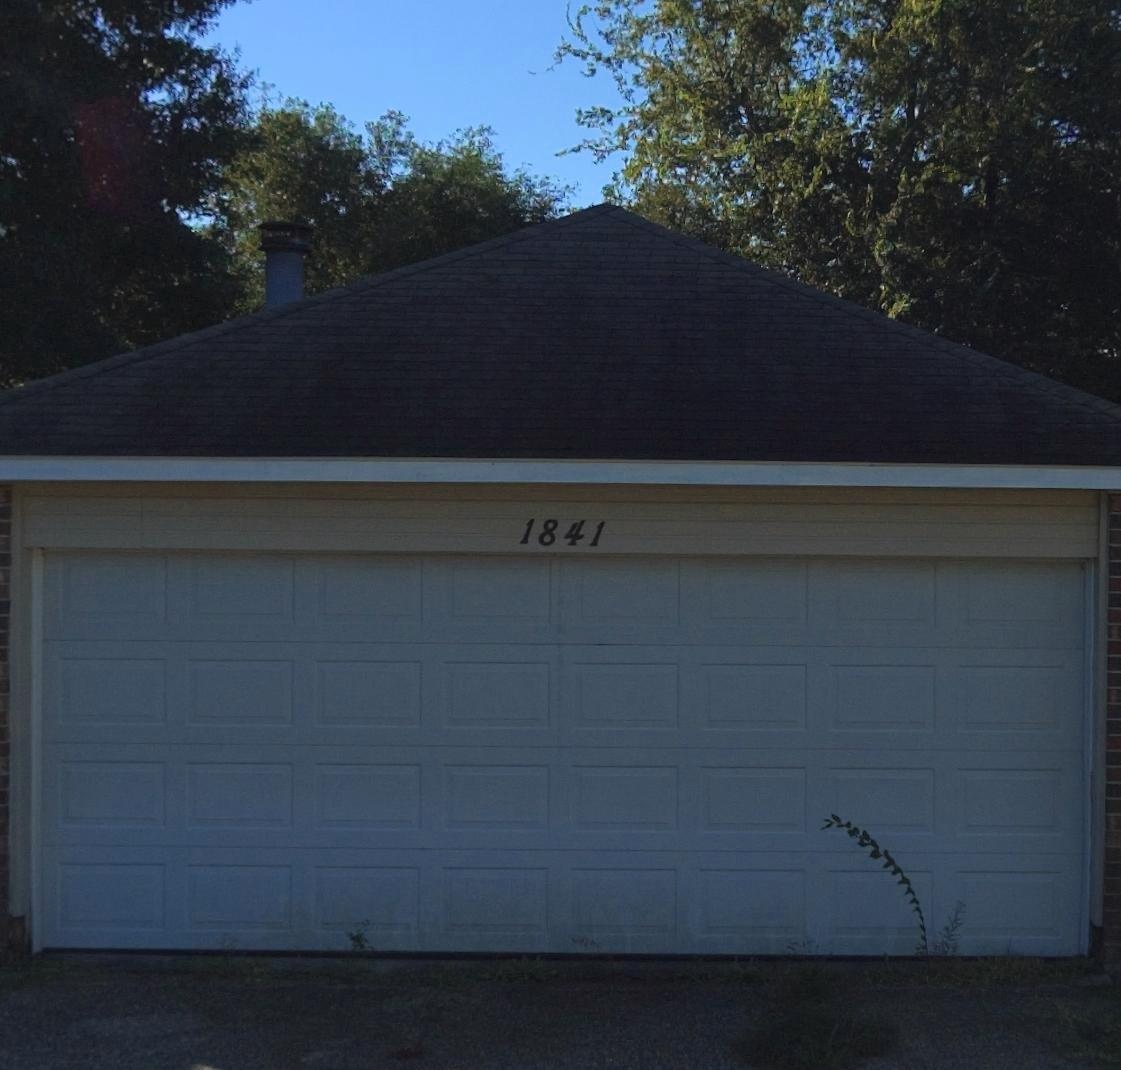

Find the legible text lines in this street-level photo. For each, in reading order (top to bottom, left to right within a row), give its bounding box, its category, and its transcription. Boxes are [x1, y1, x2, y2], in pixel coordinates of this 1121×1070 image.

[517, 516, 607, 548] StreetNumber: 1841